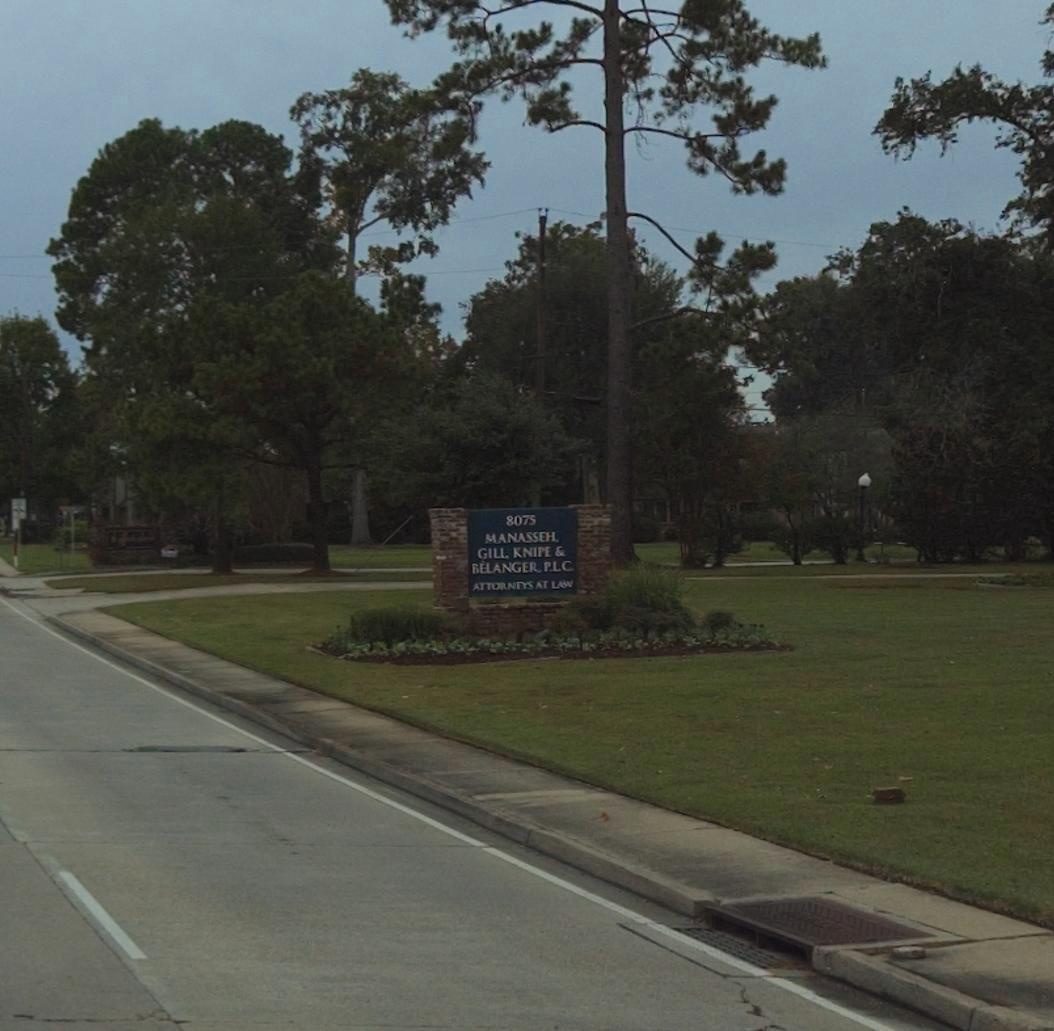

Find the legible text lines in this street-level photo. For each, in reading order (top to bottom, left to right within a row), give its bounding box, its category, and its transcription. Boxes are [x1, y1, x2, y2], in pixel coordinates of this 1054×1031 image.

[506, 514, 537, 527] StreetNumber: 8075
[485, 531, 560, 545] None: MANASSEH.
[477, 545, 567, 560] None: GILL KNIPE &
[471, 560, 576, 575] None: BHANGER. P.L.C.
[471, 579, 574, 592] None: ATTORNEYS AT LAW